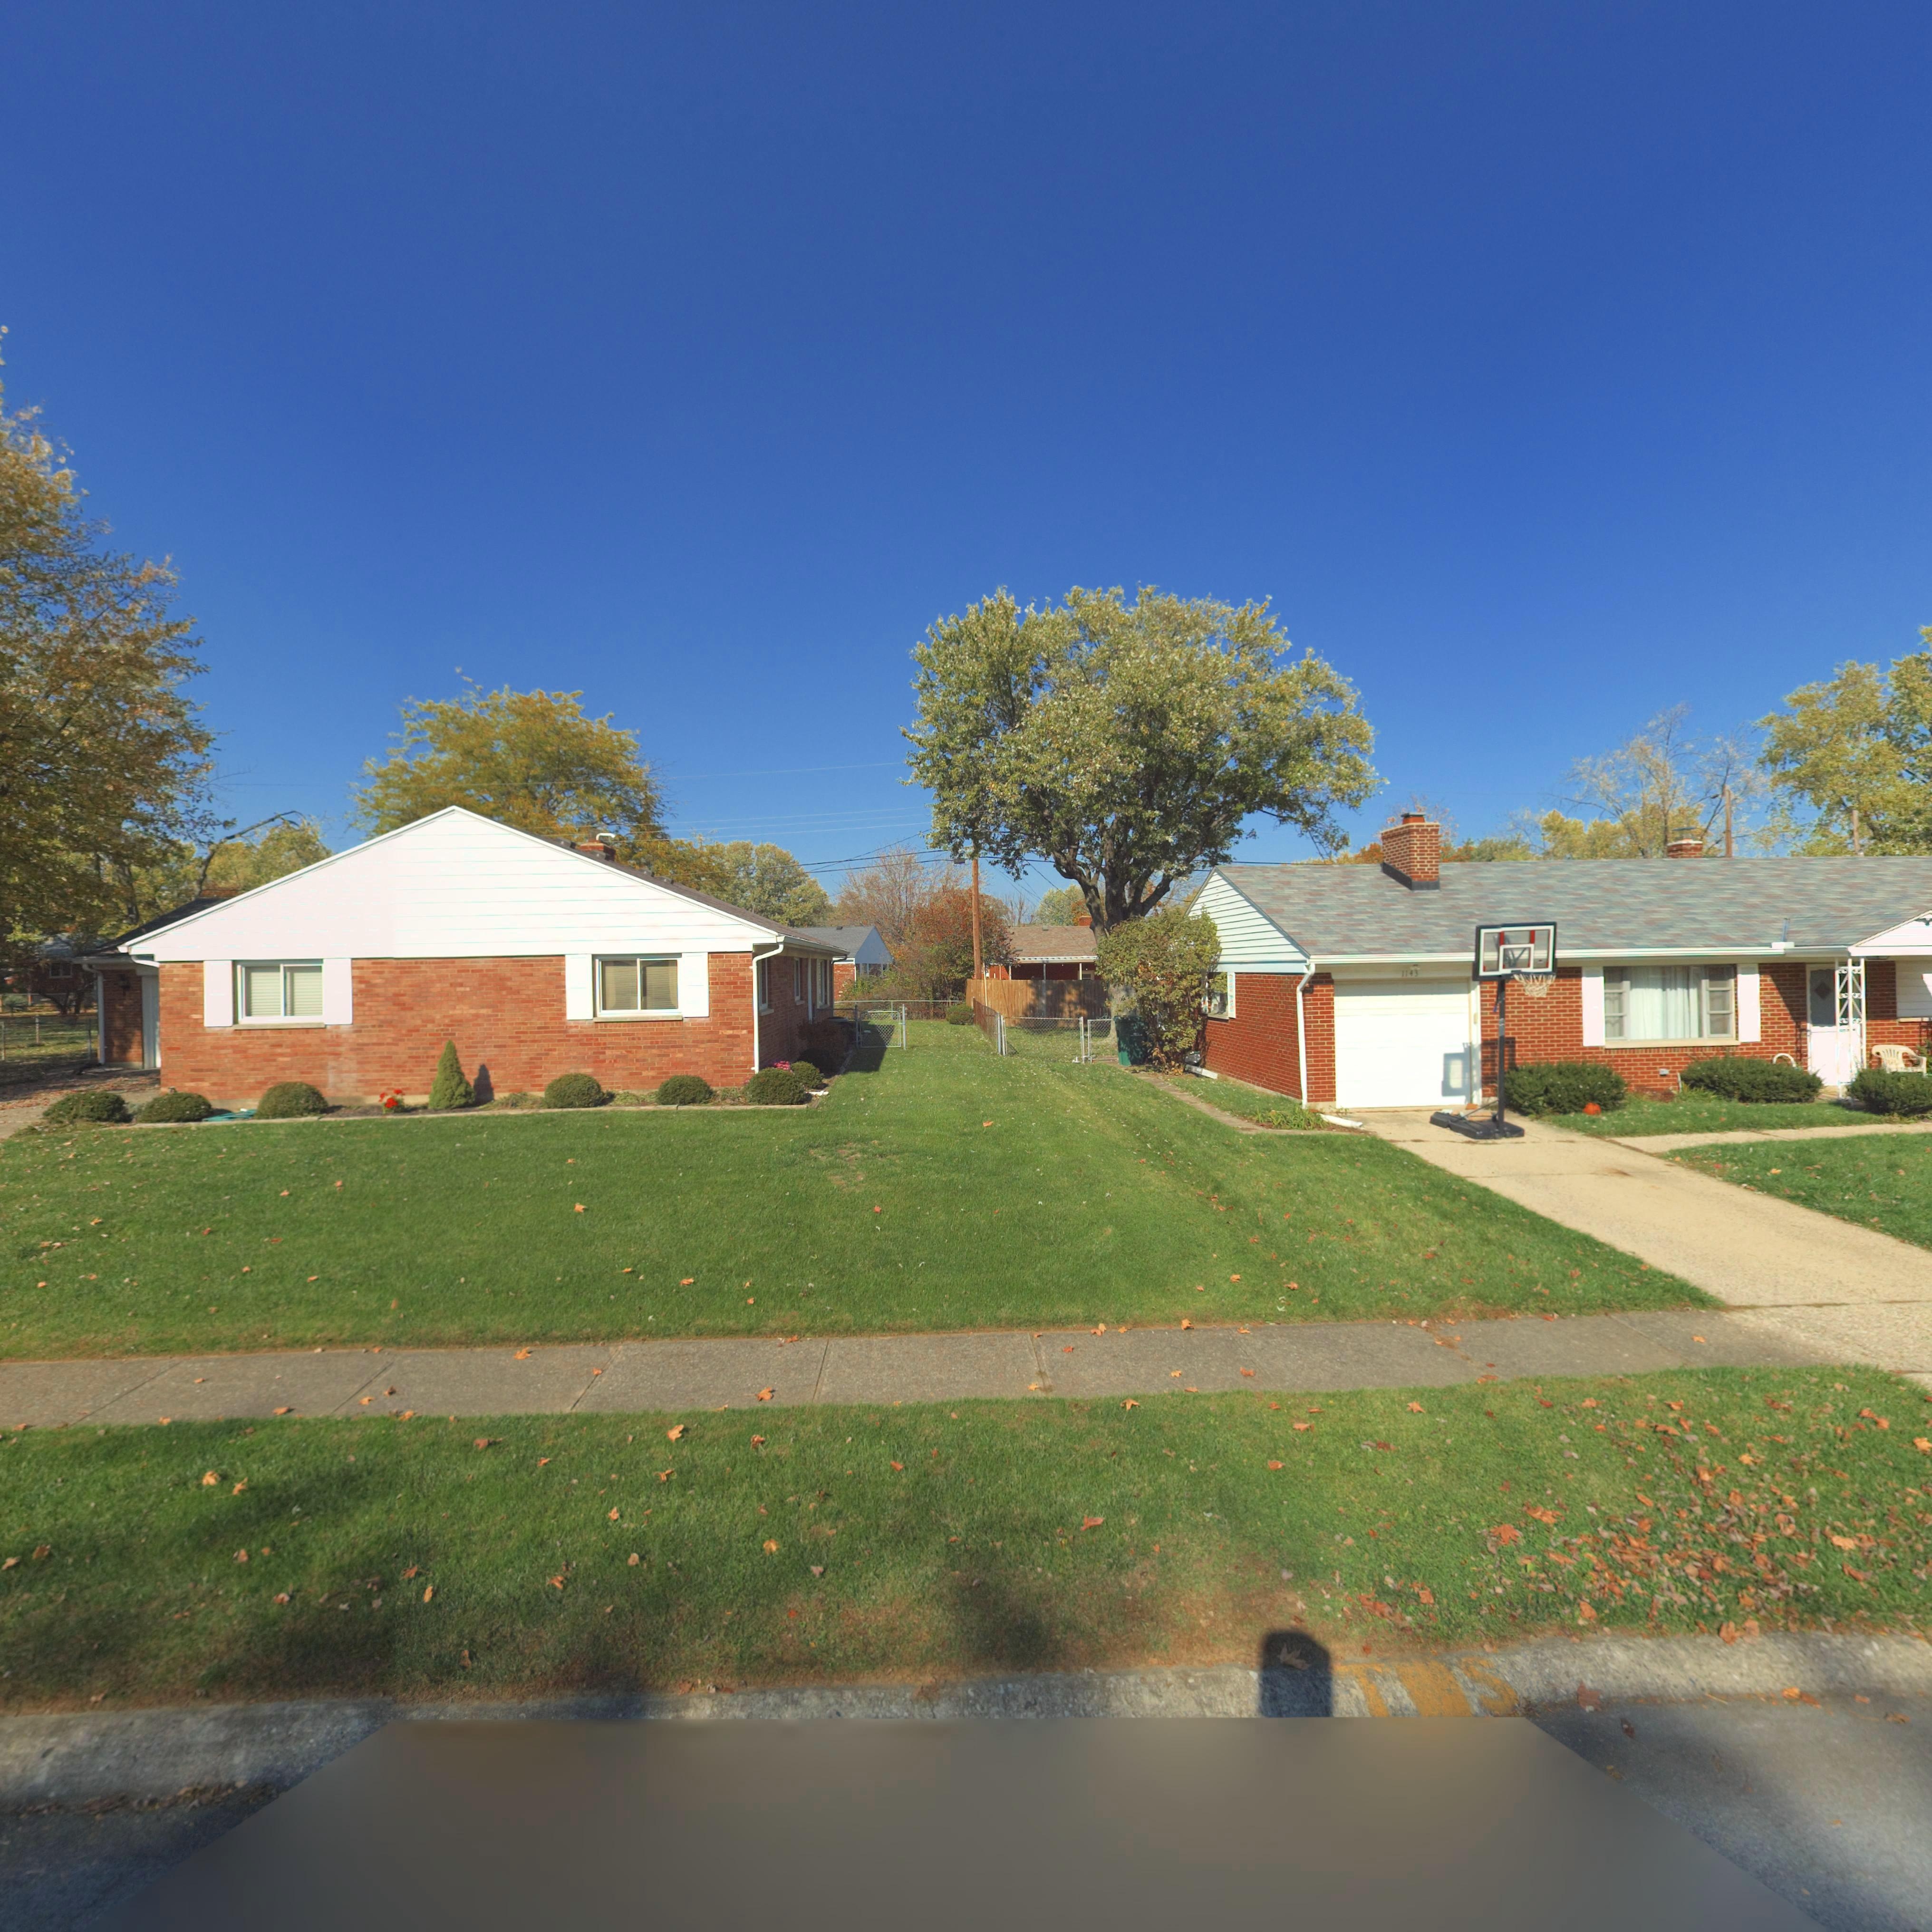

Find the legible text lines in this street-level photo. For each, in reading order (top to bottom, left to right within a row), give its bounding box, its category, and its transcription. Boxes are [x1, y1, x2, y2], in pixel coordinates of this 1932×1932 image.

[1400, 969, 1420, 979] StreetNumber: 1143